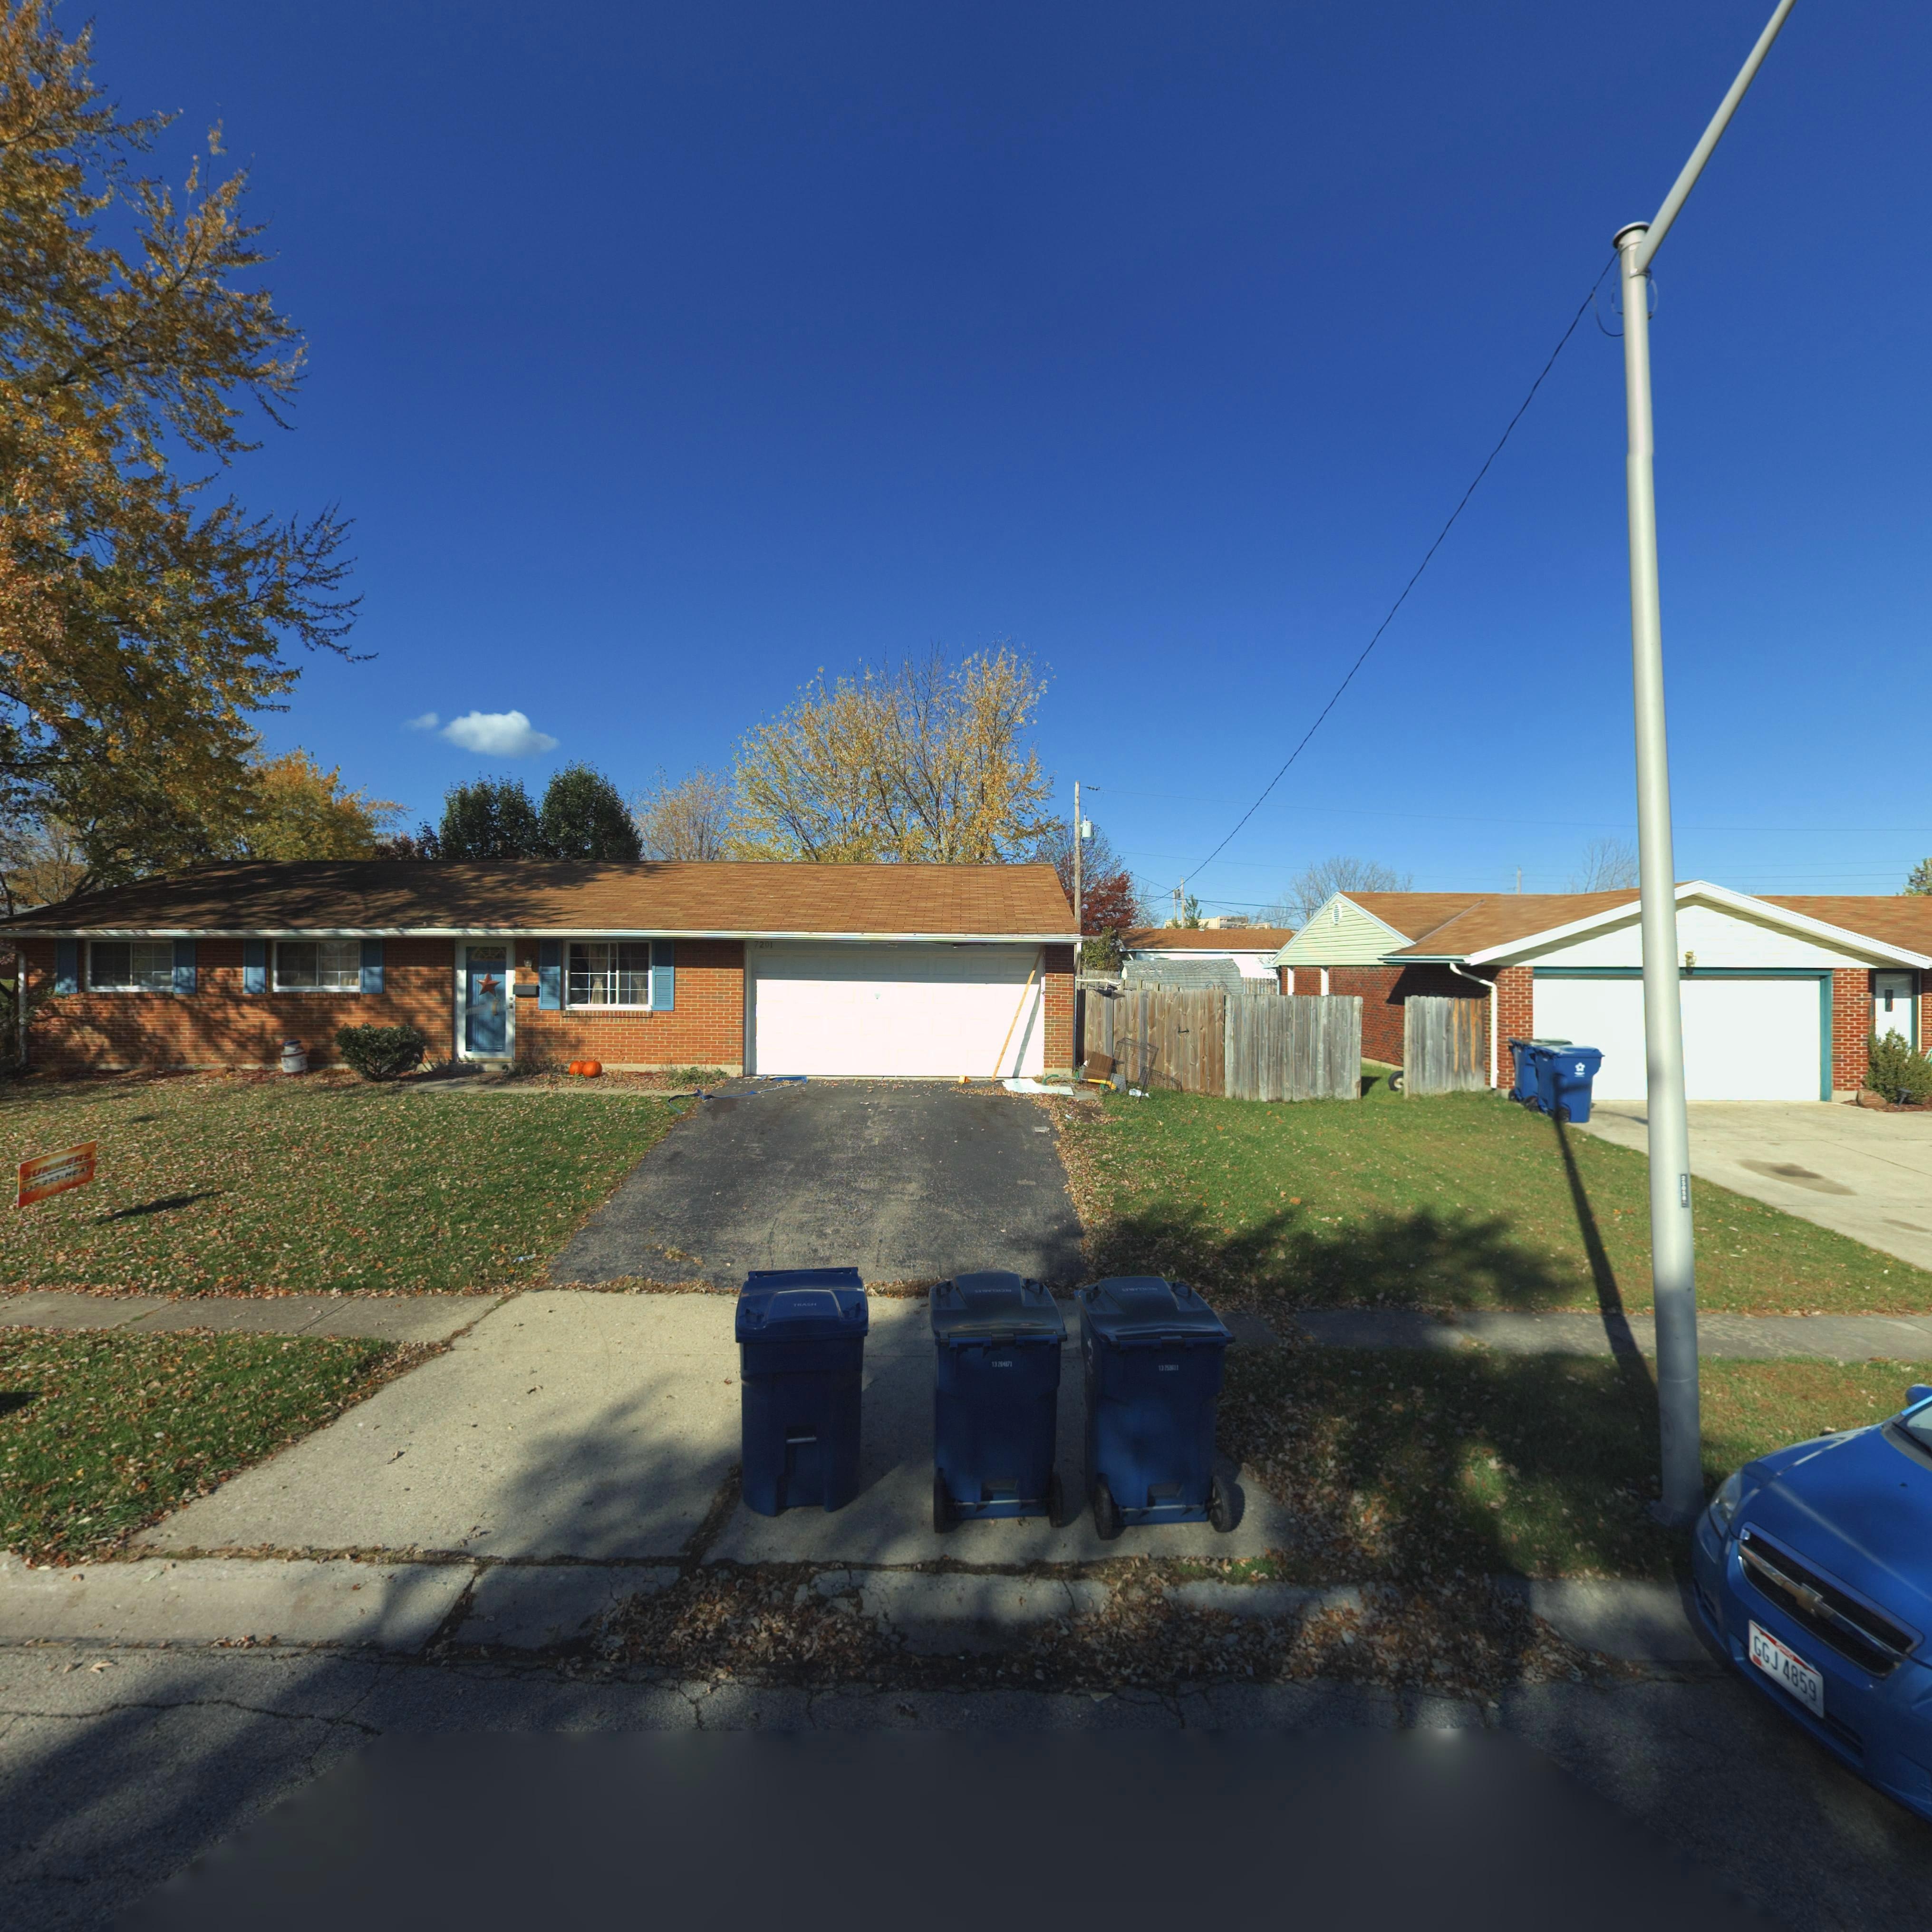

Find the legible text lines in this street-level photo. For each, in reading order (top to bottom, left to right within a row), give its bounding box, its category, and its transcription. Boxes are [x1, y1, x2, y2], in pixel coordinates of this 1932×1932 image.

[753, 940, 773, 949] StreetNumber: 7201